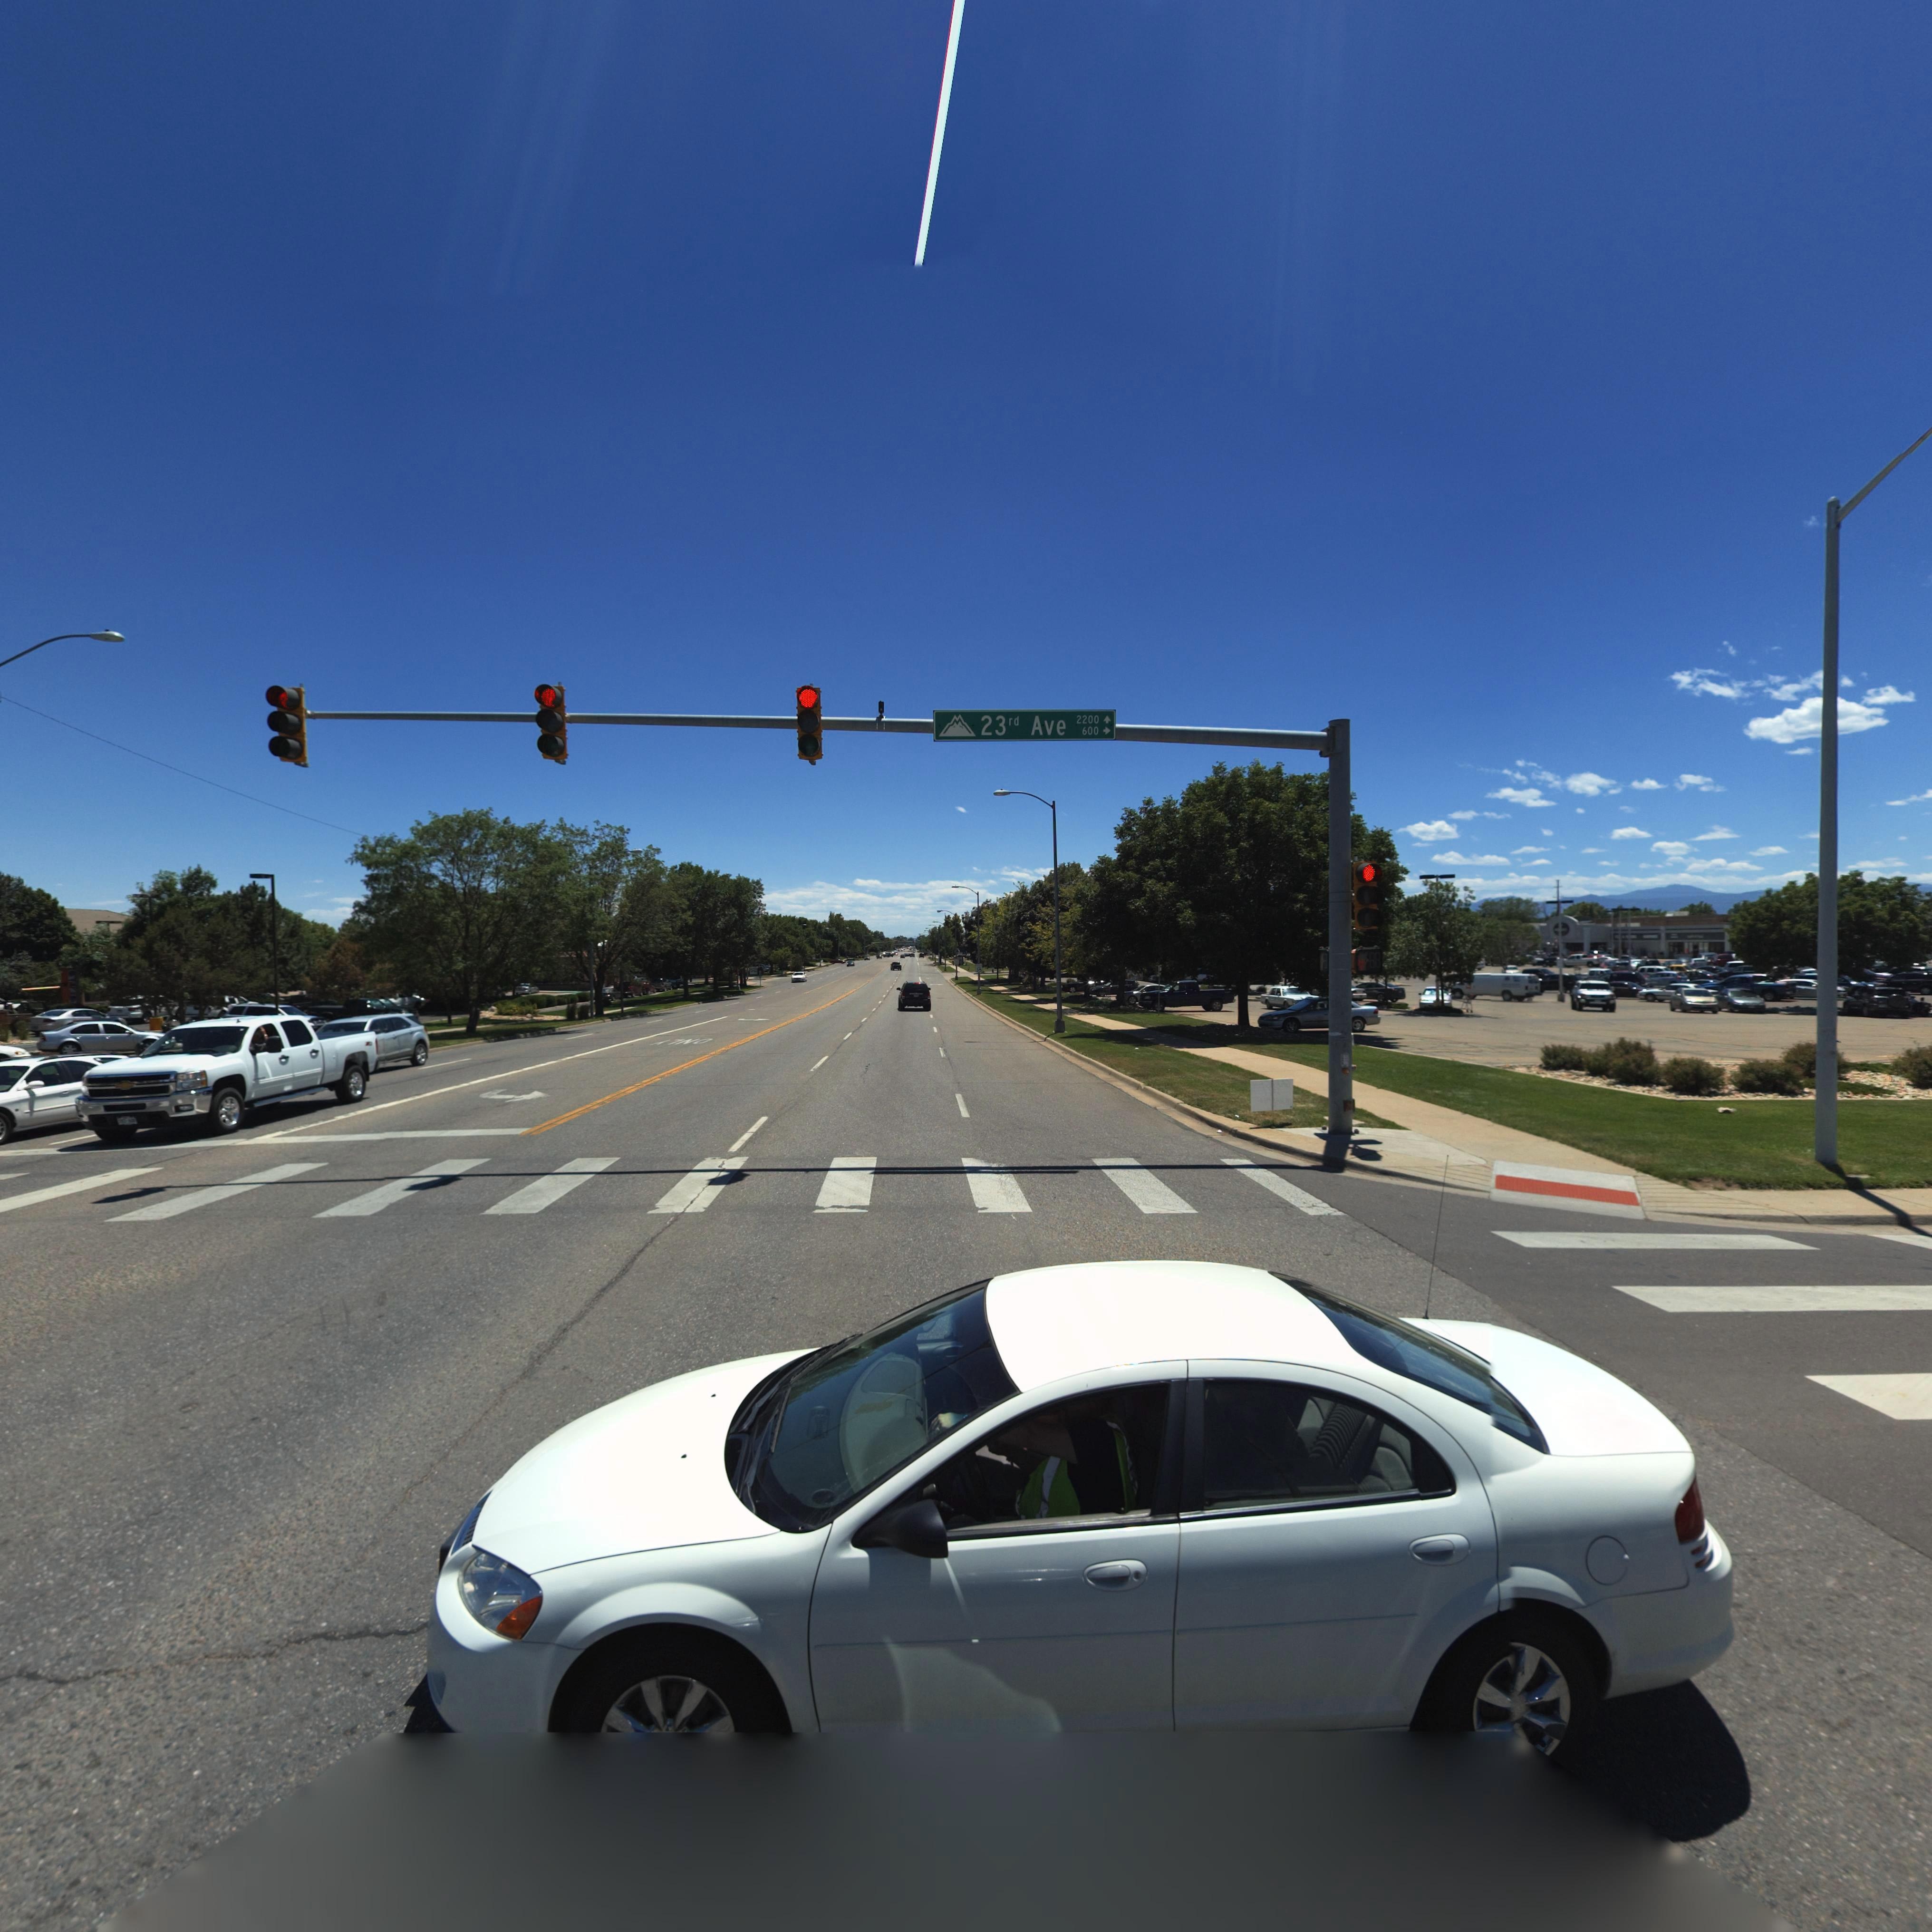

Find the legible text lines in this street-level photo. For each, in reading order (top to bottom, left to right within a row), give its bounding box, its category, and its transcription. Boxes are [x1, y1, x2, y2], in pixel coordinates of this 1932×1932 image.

[1076, 715, 1099, 724] StreetNumberRange: 2200
[980, 714, 1066, 736] StreetName: 23rd Ave
[1082, 726, 1111, 735] StreetNumberRange: 600->